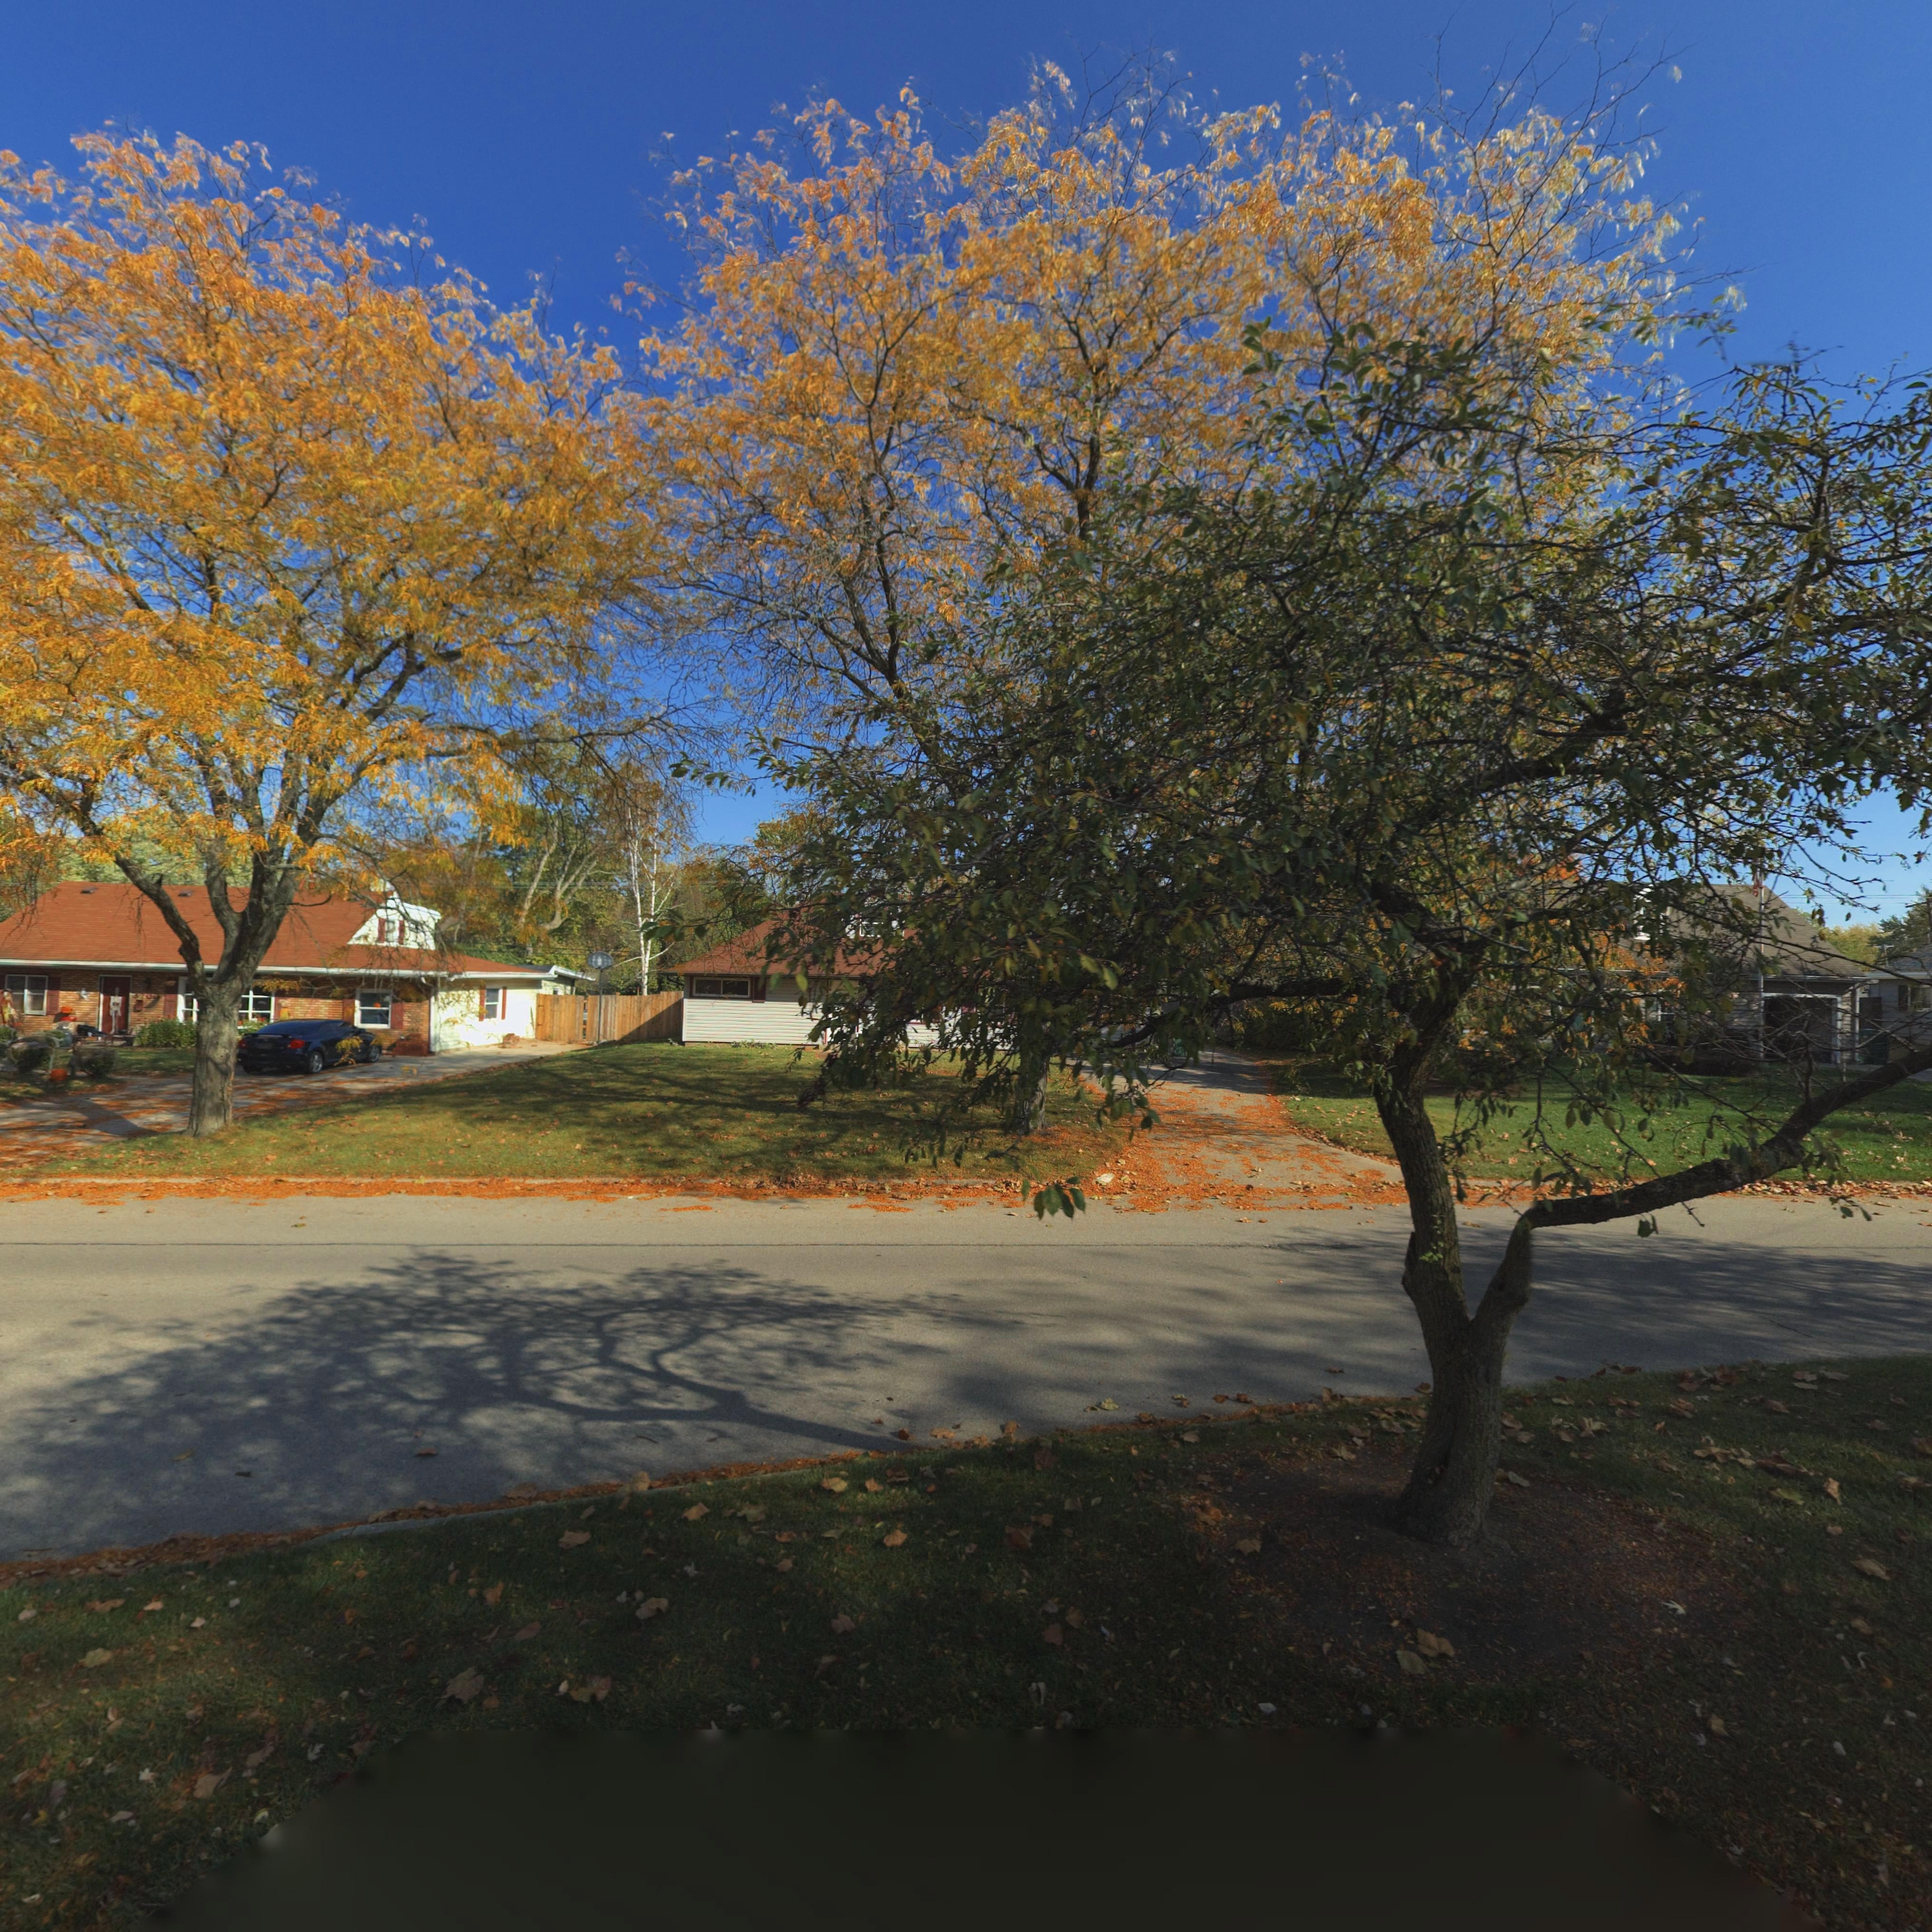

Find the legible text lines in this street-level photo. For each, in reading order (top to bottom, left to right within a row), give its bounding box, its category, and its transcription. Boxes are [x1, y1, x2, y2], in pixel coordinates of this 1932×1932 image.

[132, 992, 160, 999] StreetNumber: 3700